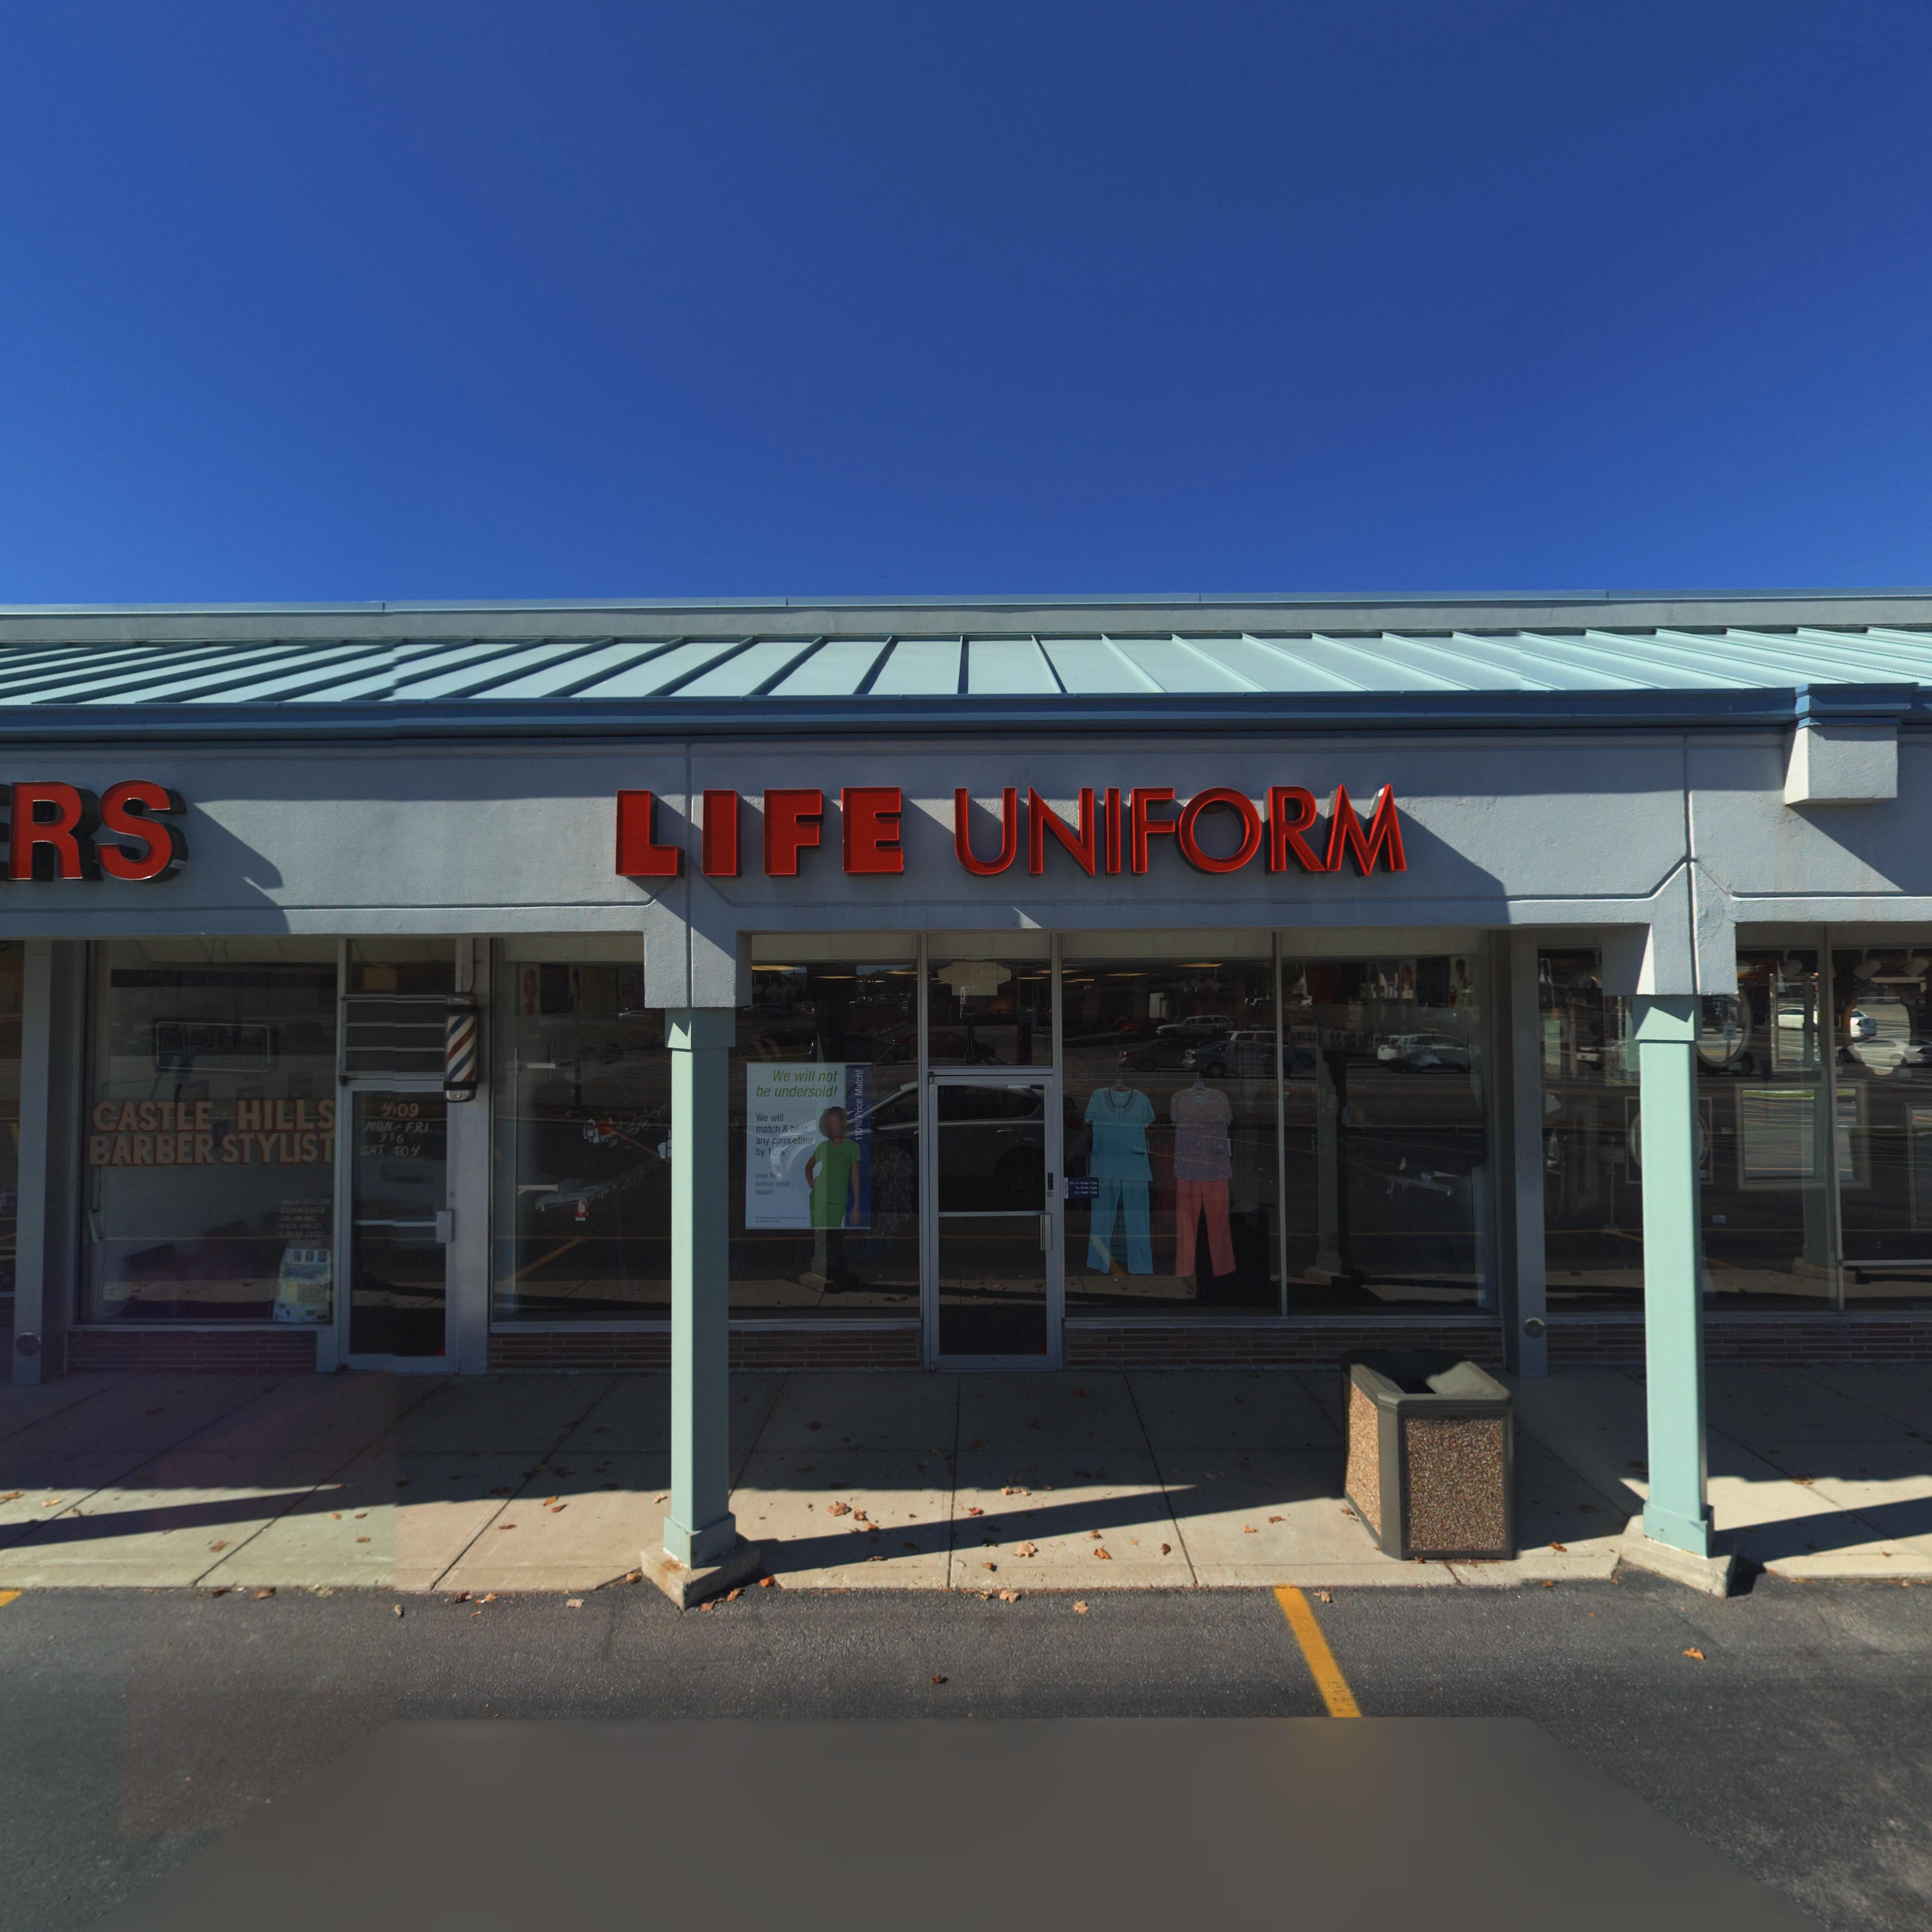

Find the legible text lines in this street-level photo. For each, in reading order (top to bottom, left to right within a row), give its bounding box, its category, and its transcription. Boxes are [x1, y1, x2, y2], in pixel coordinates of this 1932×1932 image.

[5, 778, 183, 884] BusinessName: RS
[609, 780, 1414, 881] BusinessName: LIFE UNIFORM
[772, 1068, 840, 1083] None: We will not
[754, 1084, 838, 1098] None: be undersold!
[89, 1096, 338, 1133] BusinessName: CASTLE HILLS
[378, 1101, 422, 1119] StreetNumber: *09
[755, 1112, 784, 1122] None: We will
[854, 1069, 864, 1141] None: 110% Price Match!
[361, 1118, 433, 1134] None: MON-FRI.
[755, 1124, 809, 1134] None: match & beat
[376, 1131, 407, 1146] None: 9*6
[754, 1135, 815, 1147] None: any competitor
[85, 1131, 338, 1169] BusinessName: BARBER STYLIST
[357, 1143, 423, 1159] None: SAT TO4
[755, 1146, 785, 1158] None: by 10%
[754, 1172, 779, 1179] None: shop the
[754, 1180, 791, 1188] None: fashion scrub
[754, 1188, 774, 1196] None: leader!